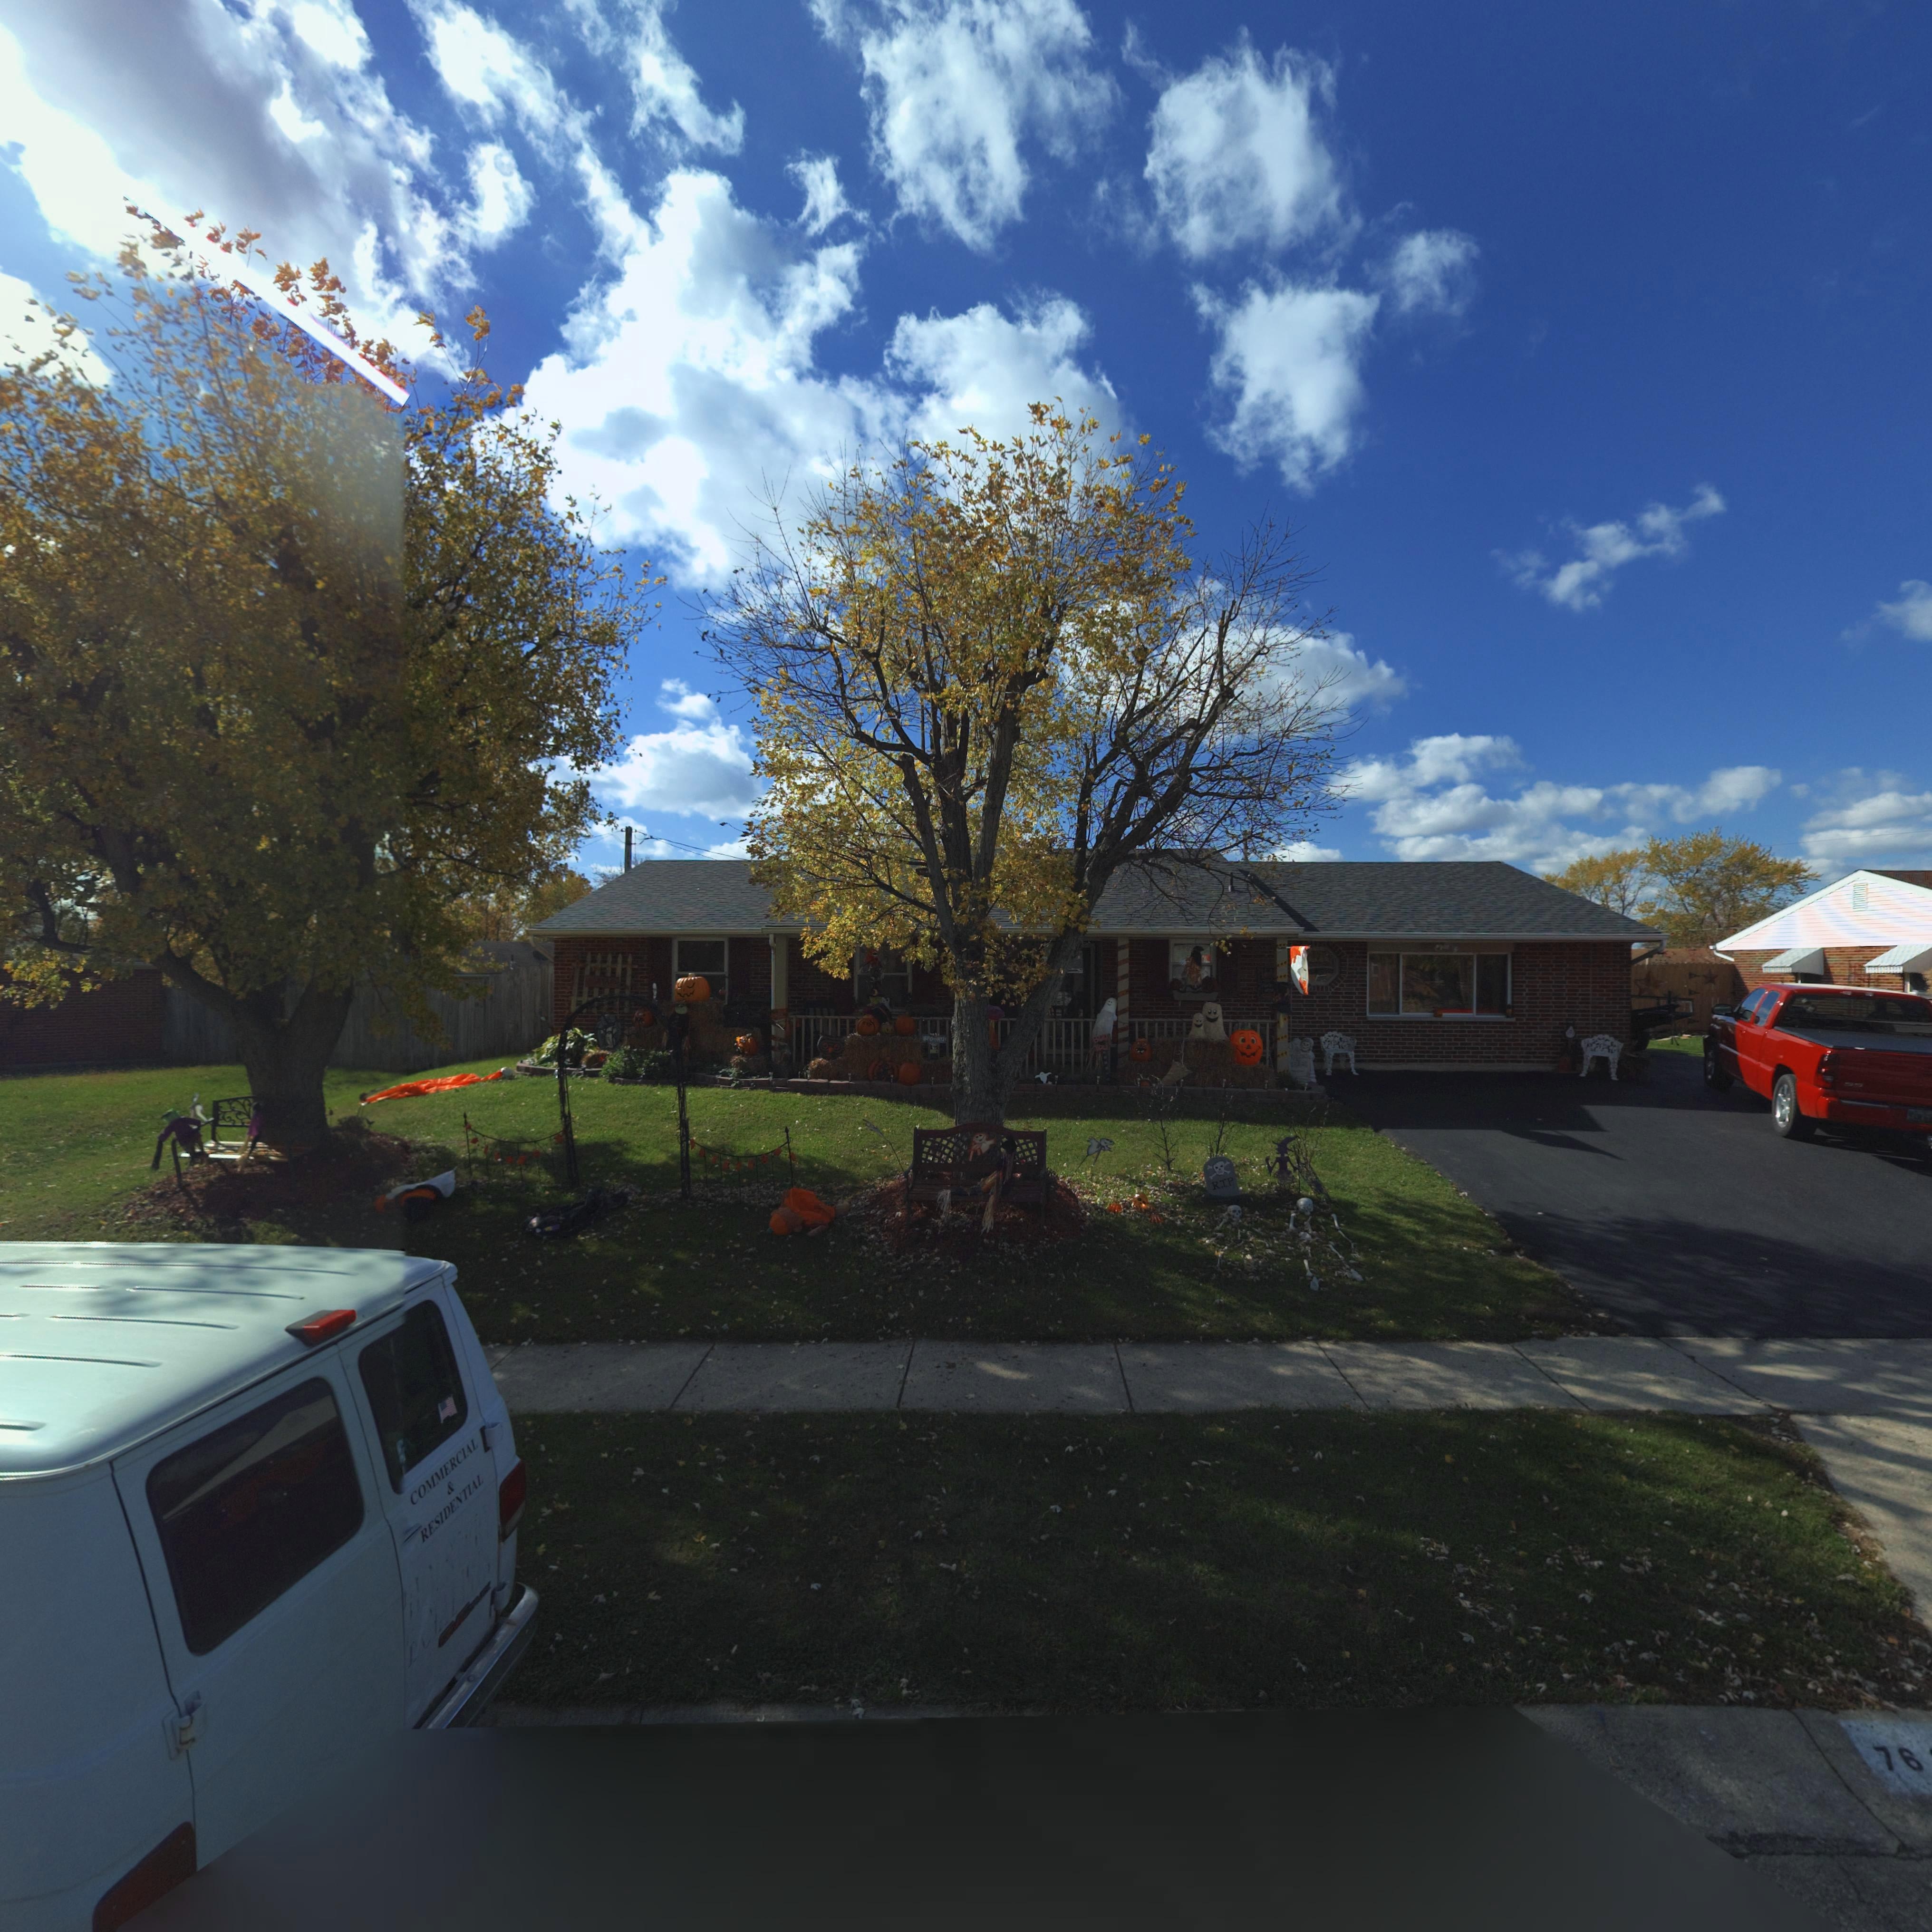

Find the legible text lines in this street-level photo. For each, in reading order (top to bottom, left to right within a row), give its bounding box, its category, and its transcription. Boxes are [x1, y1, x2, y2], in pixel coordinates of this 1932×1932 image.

[1872, 1745, 1925, 1772] StreetNumber: 76